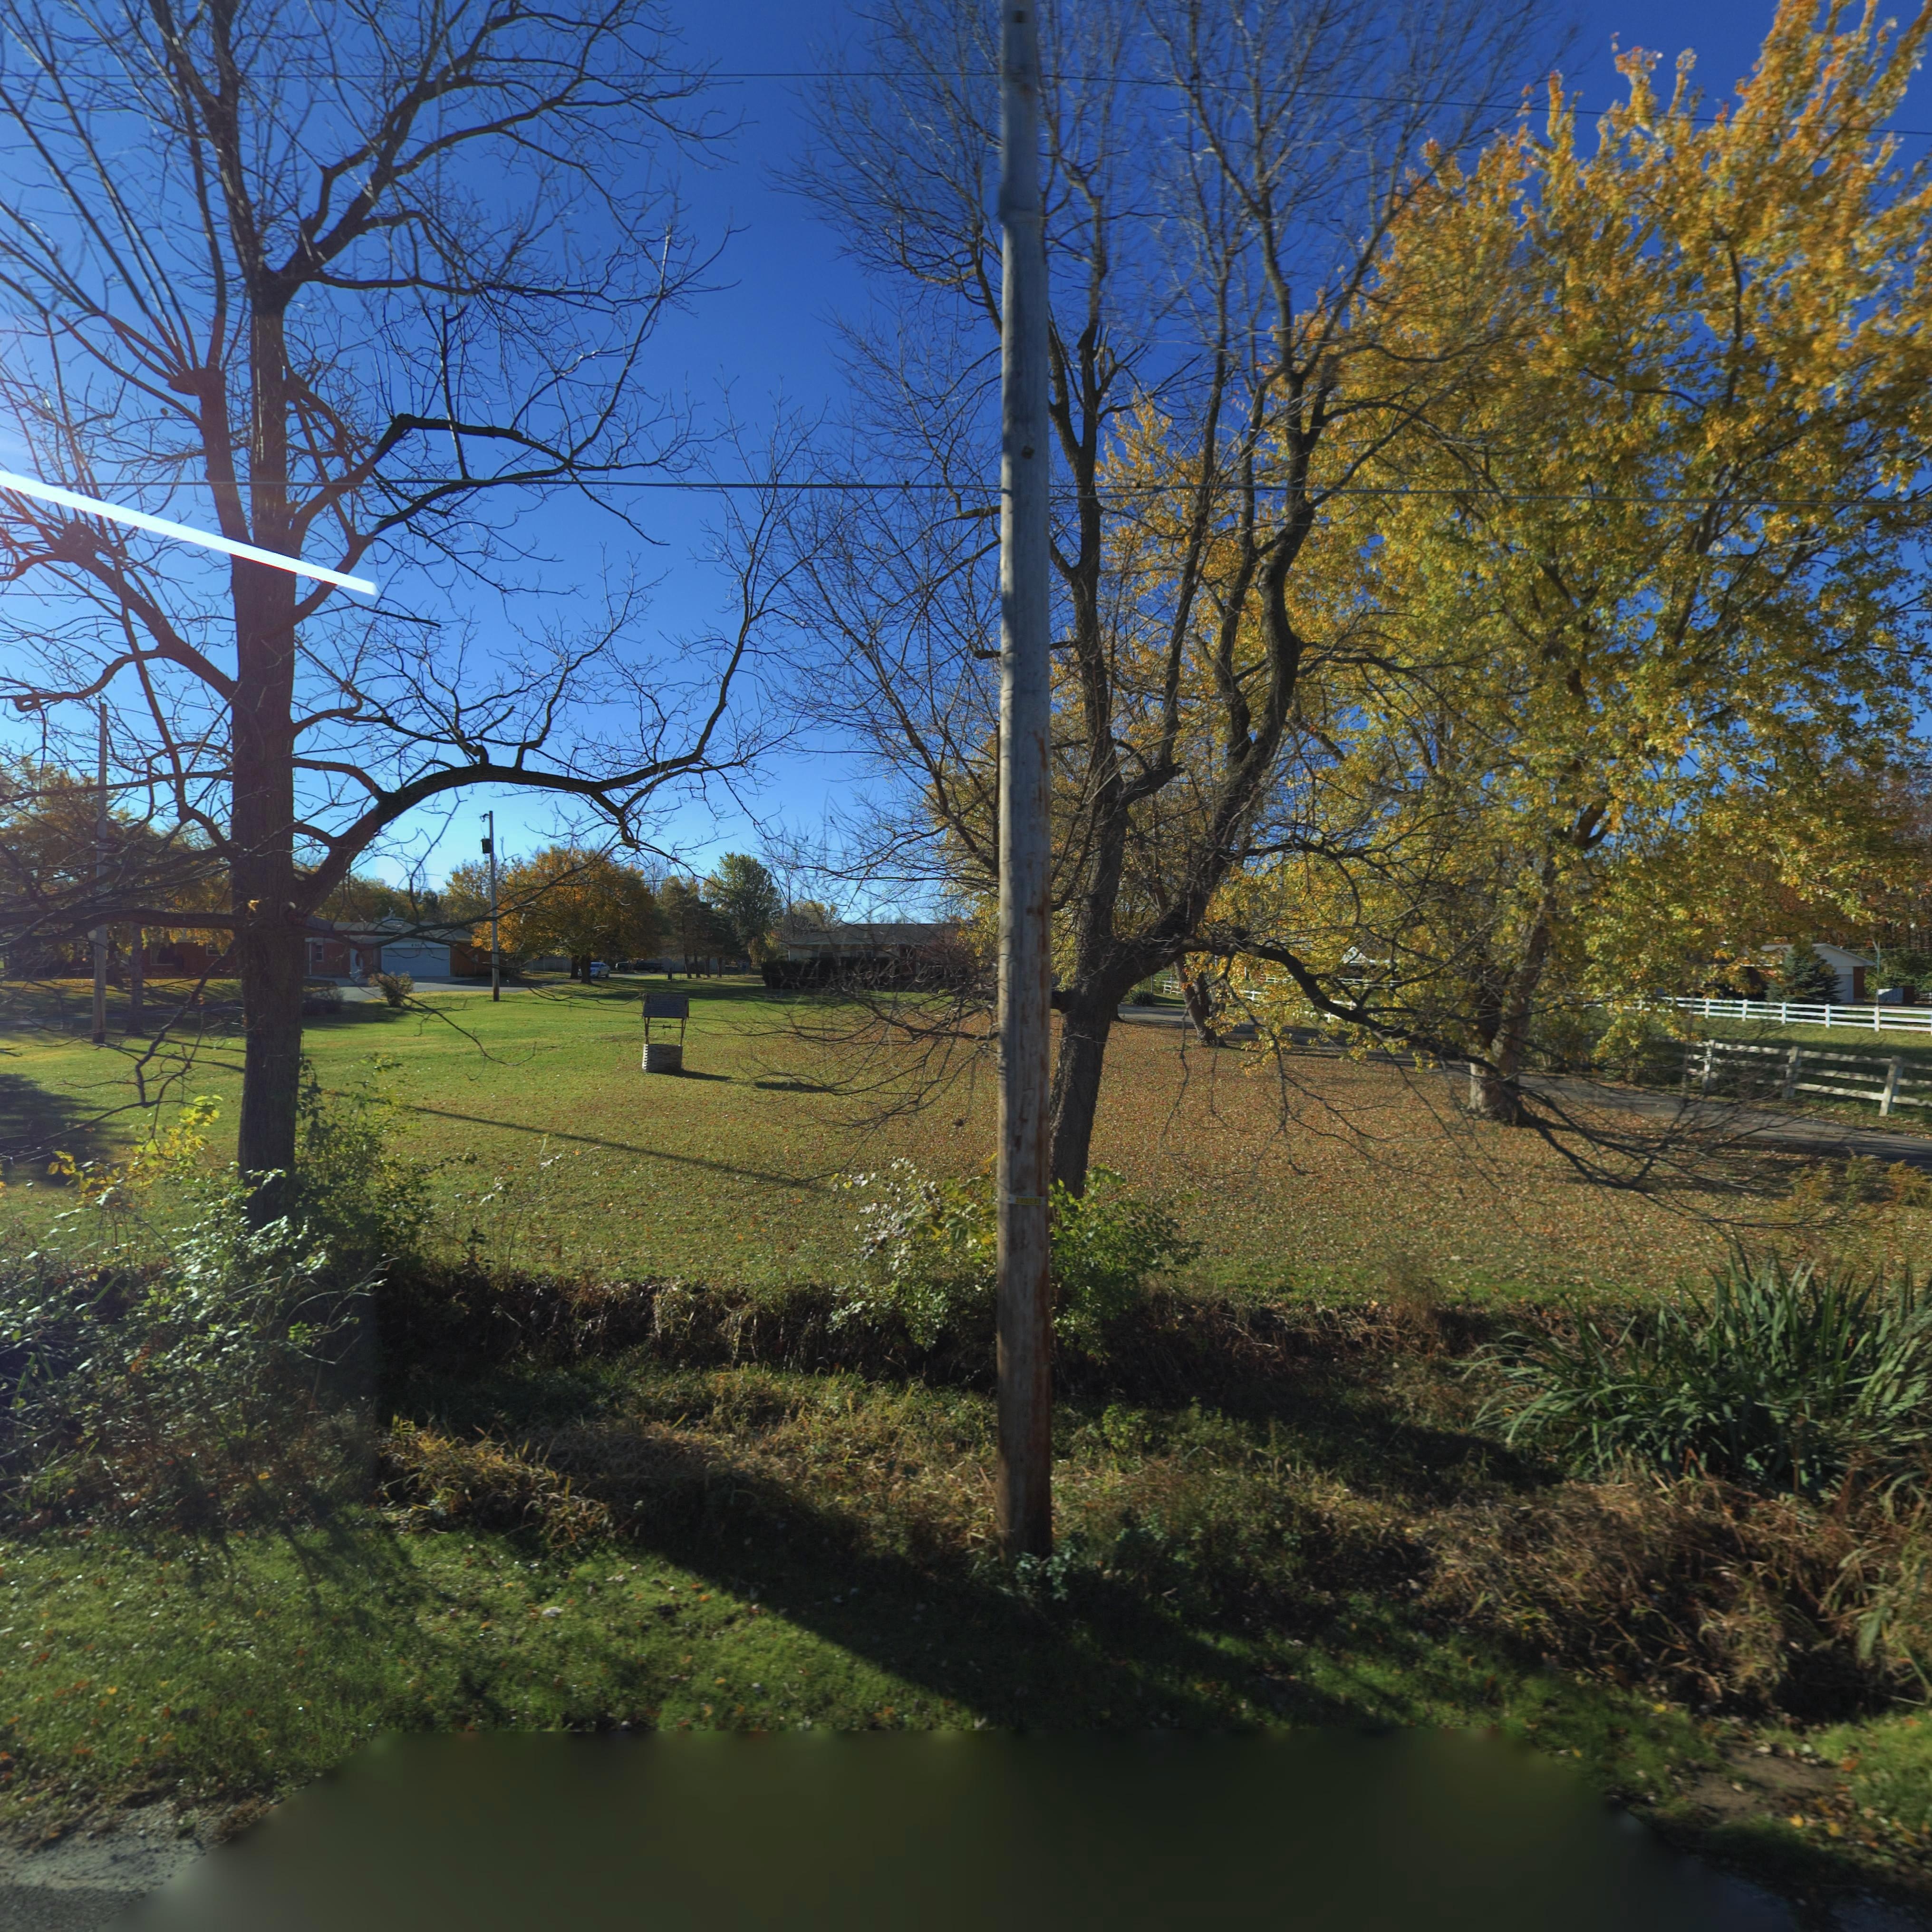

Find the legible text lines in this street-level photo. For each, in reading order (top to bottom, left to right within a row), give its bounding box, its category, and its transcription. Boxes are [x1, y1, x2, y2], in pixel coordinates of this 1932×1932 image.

[410, 943, 420, 947] StreetNumber: *30